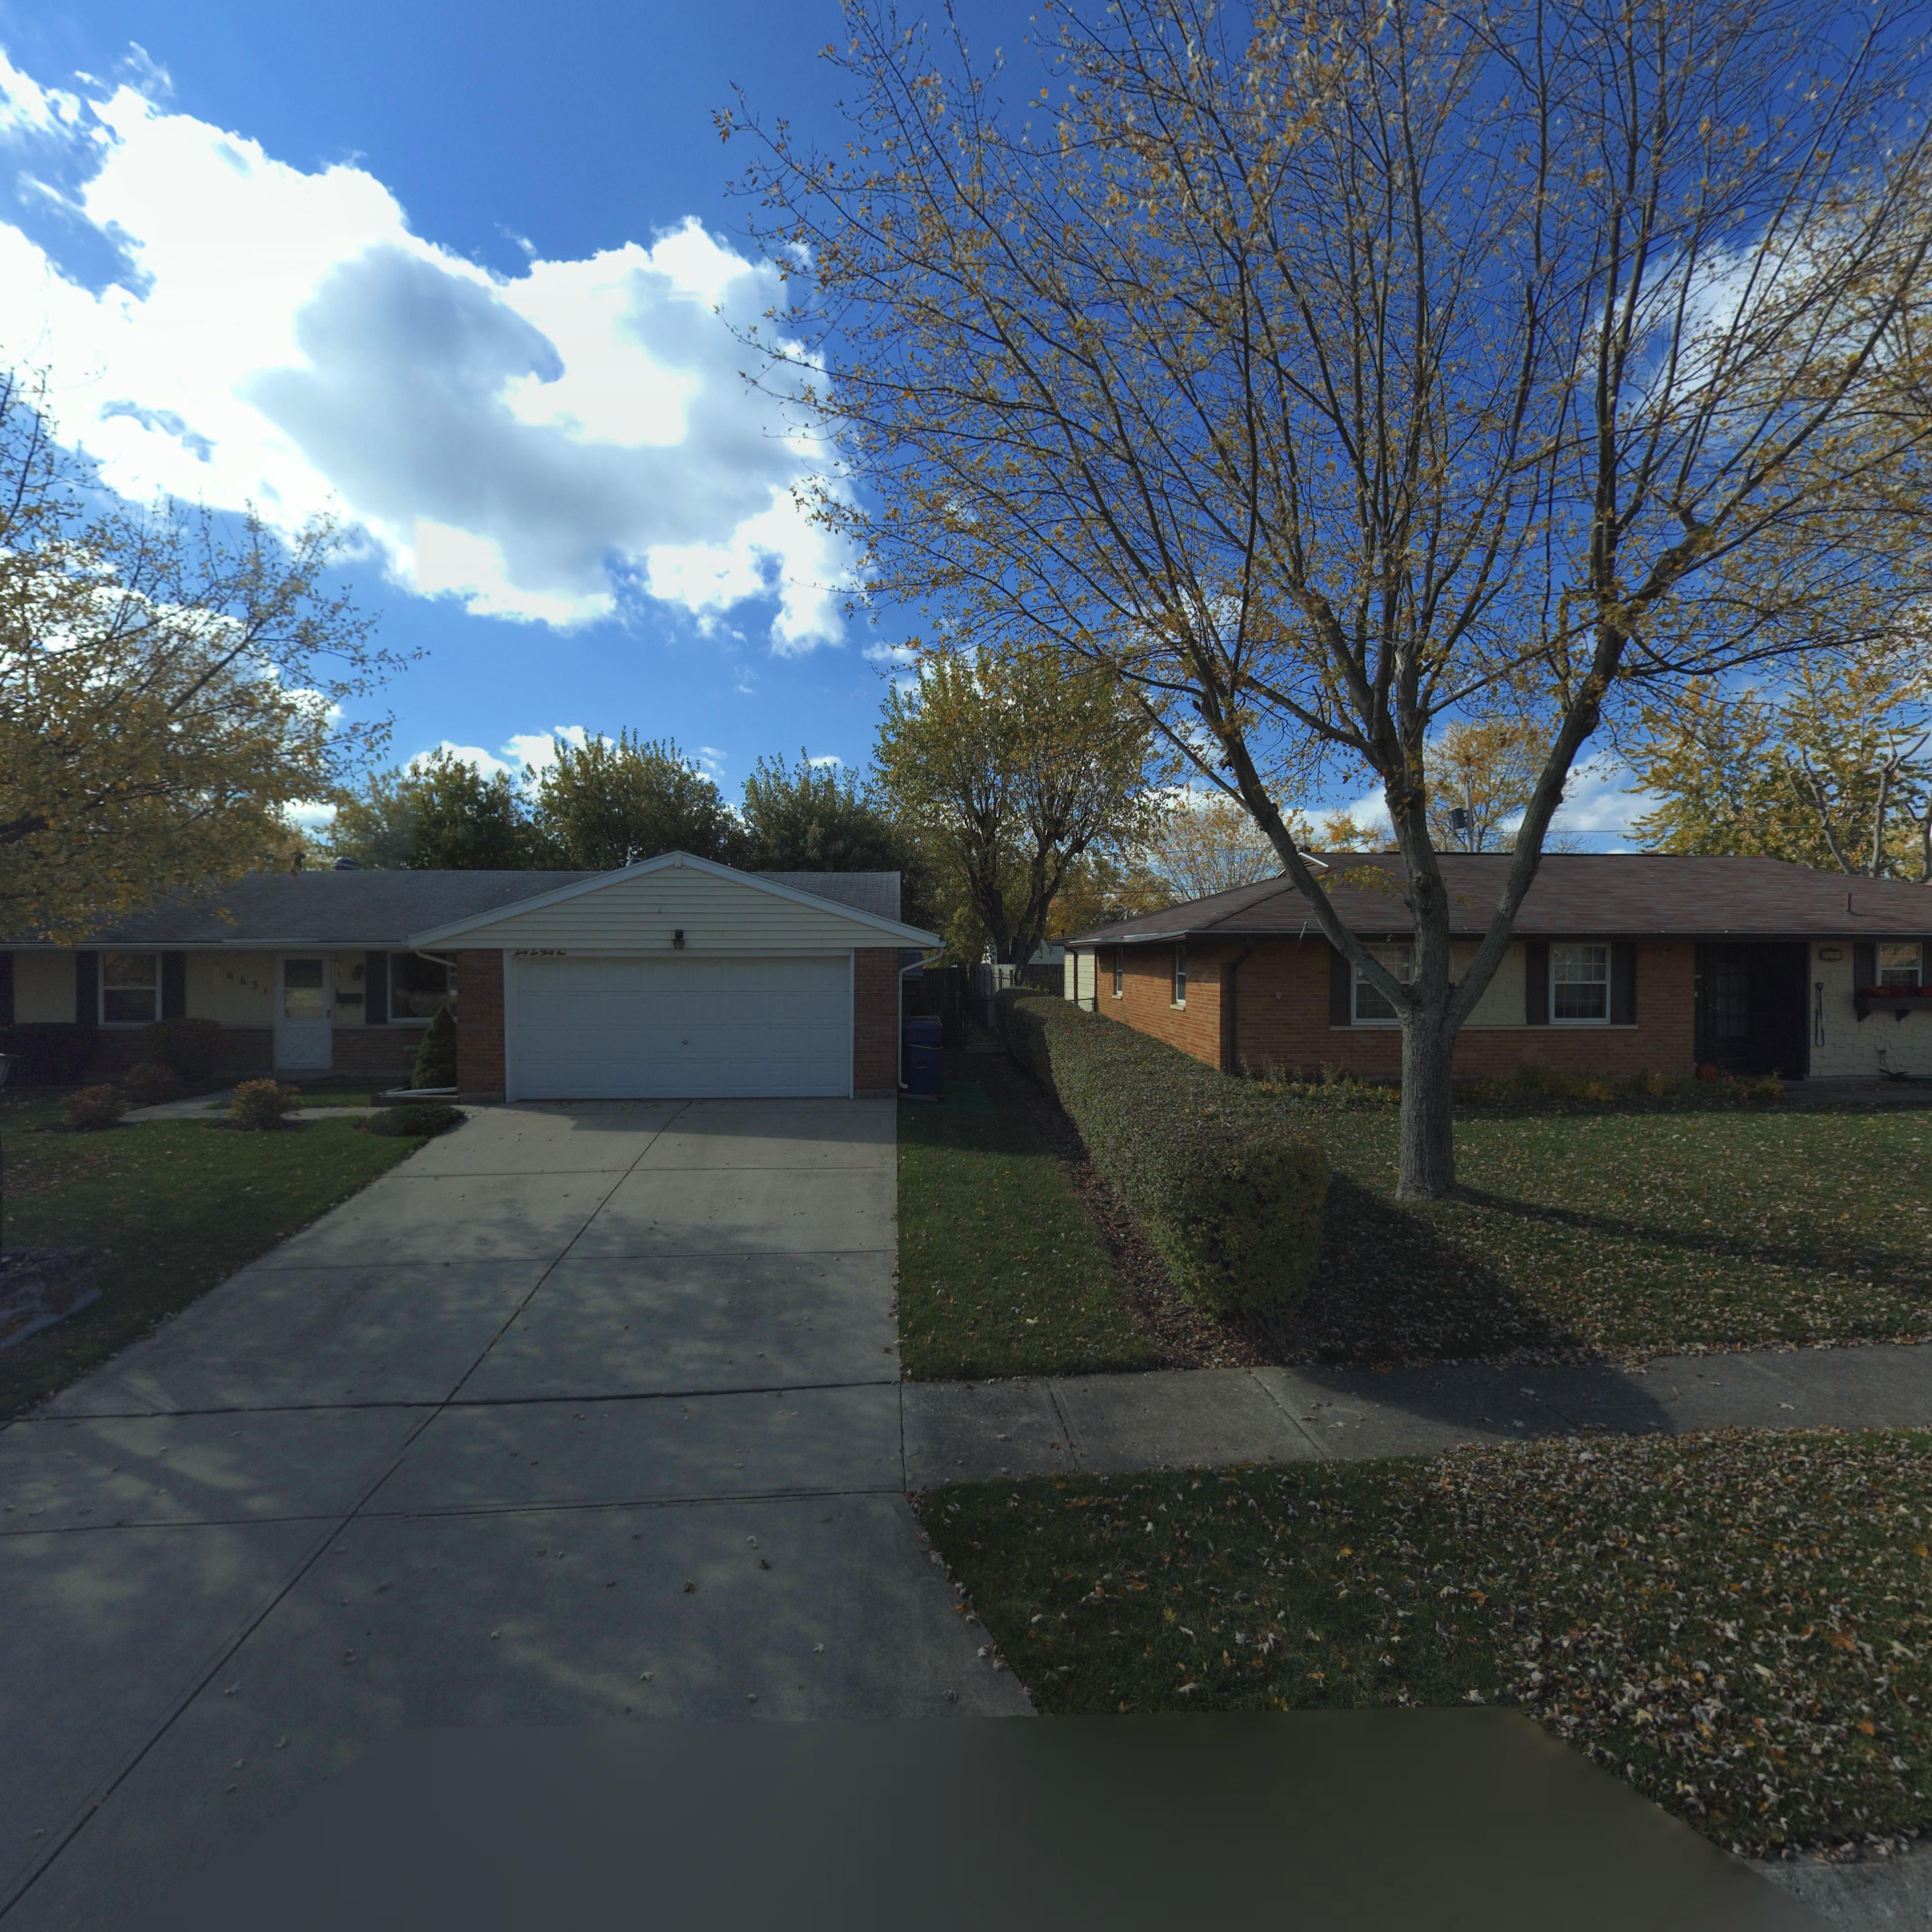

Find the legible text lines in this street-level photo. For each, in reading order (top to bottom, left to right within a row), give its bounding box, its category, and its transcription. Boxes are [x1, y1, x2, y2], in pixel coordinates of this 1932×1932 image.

[513, 948, 567, 956] StreetNumber: Sixty Six Thirty One
[1822, 952, 1841, 958] StreetNumber: 6**1
[225, 969, 269, 996] StreetNumber: 6631